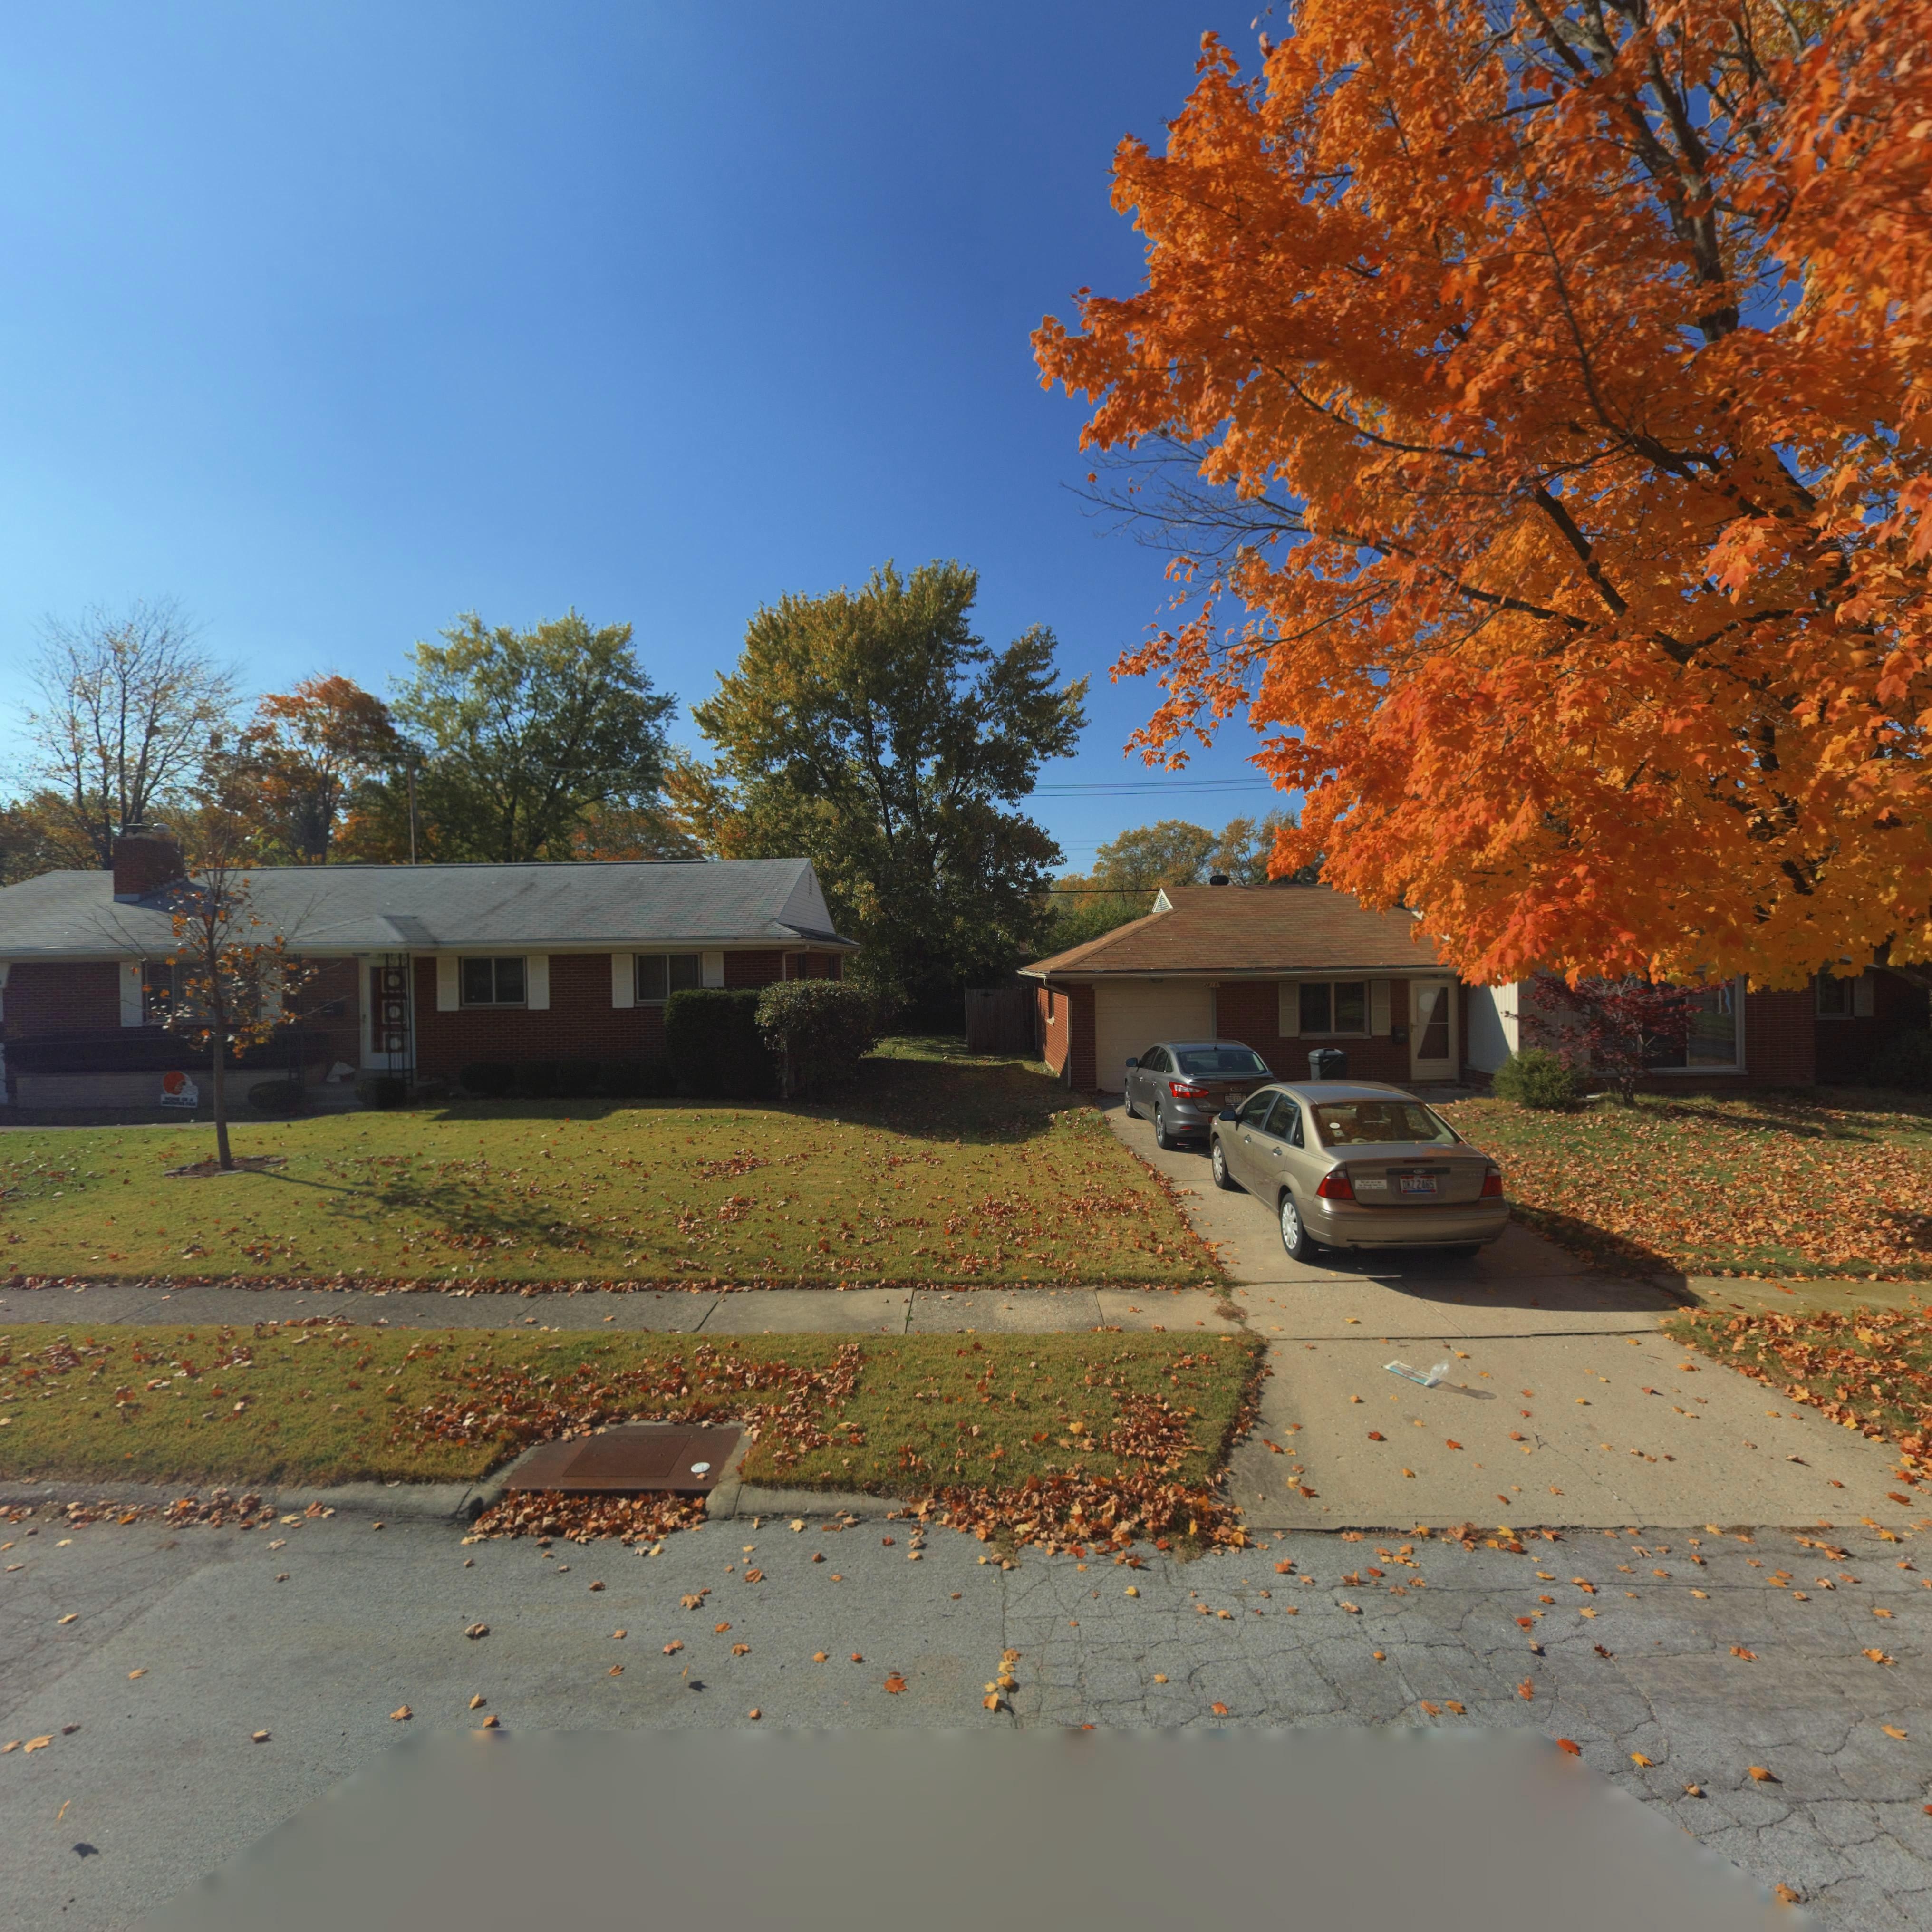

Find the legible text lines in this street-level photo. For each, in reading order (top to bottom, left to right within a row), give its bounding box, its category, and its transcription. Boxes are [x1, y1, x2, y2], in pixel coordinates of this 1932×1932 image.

[1202, 981, 1219, 988] StreetNumber: 3*19
[1225, 1095, 1244, 1103] None: D1*617
[1401, 1178, 1436, 1191] None: DKZ2465